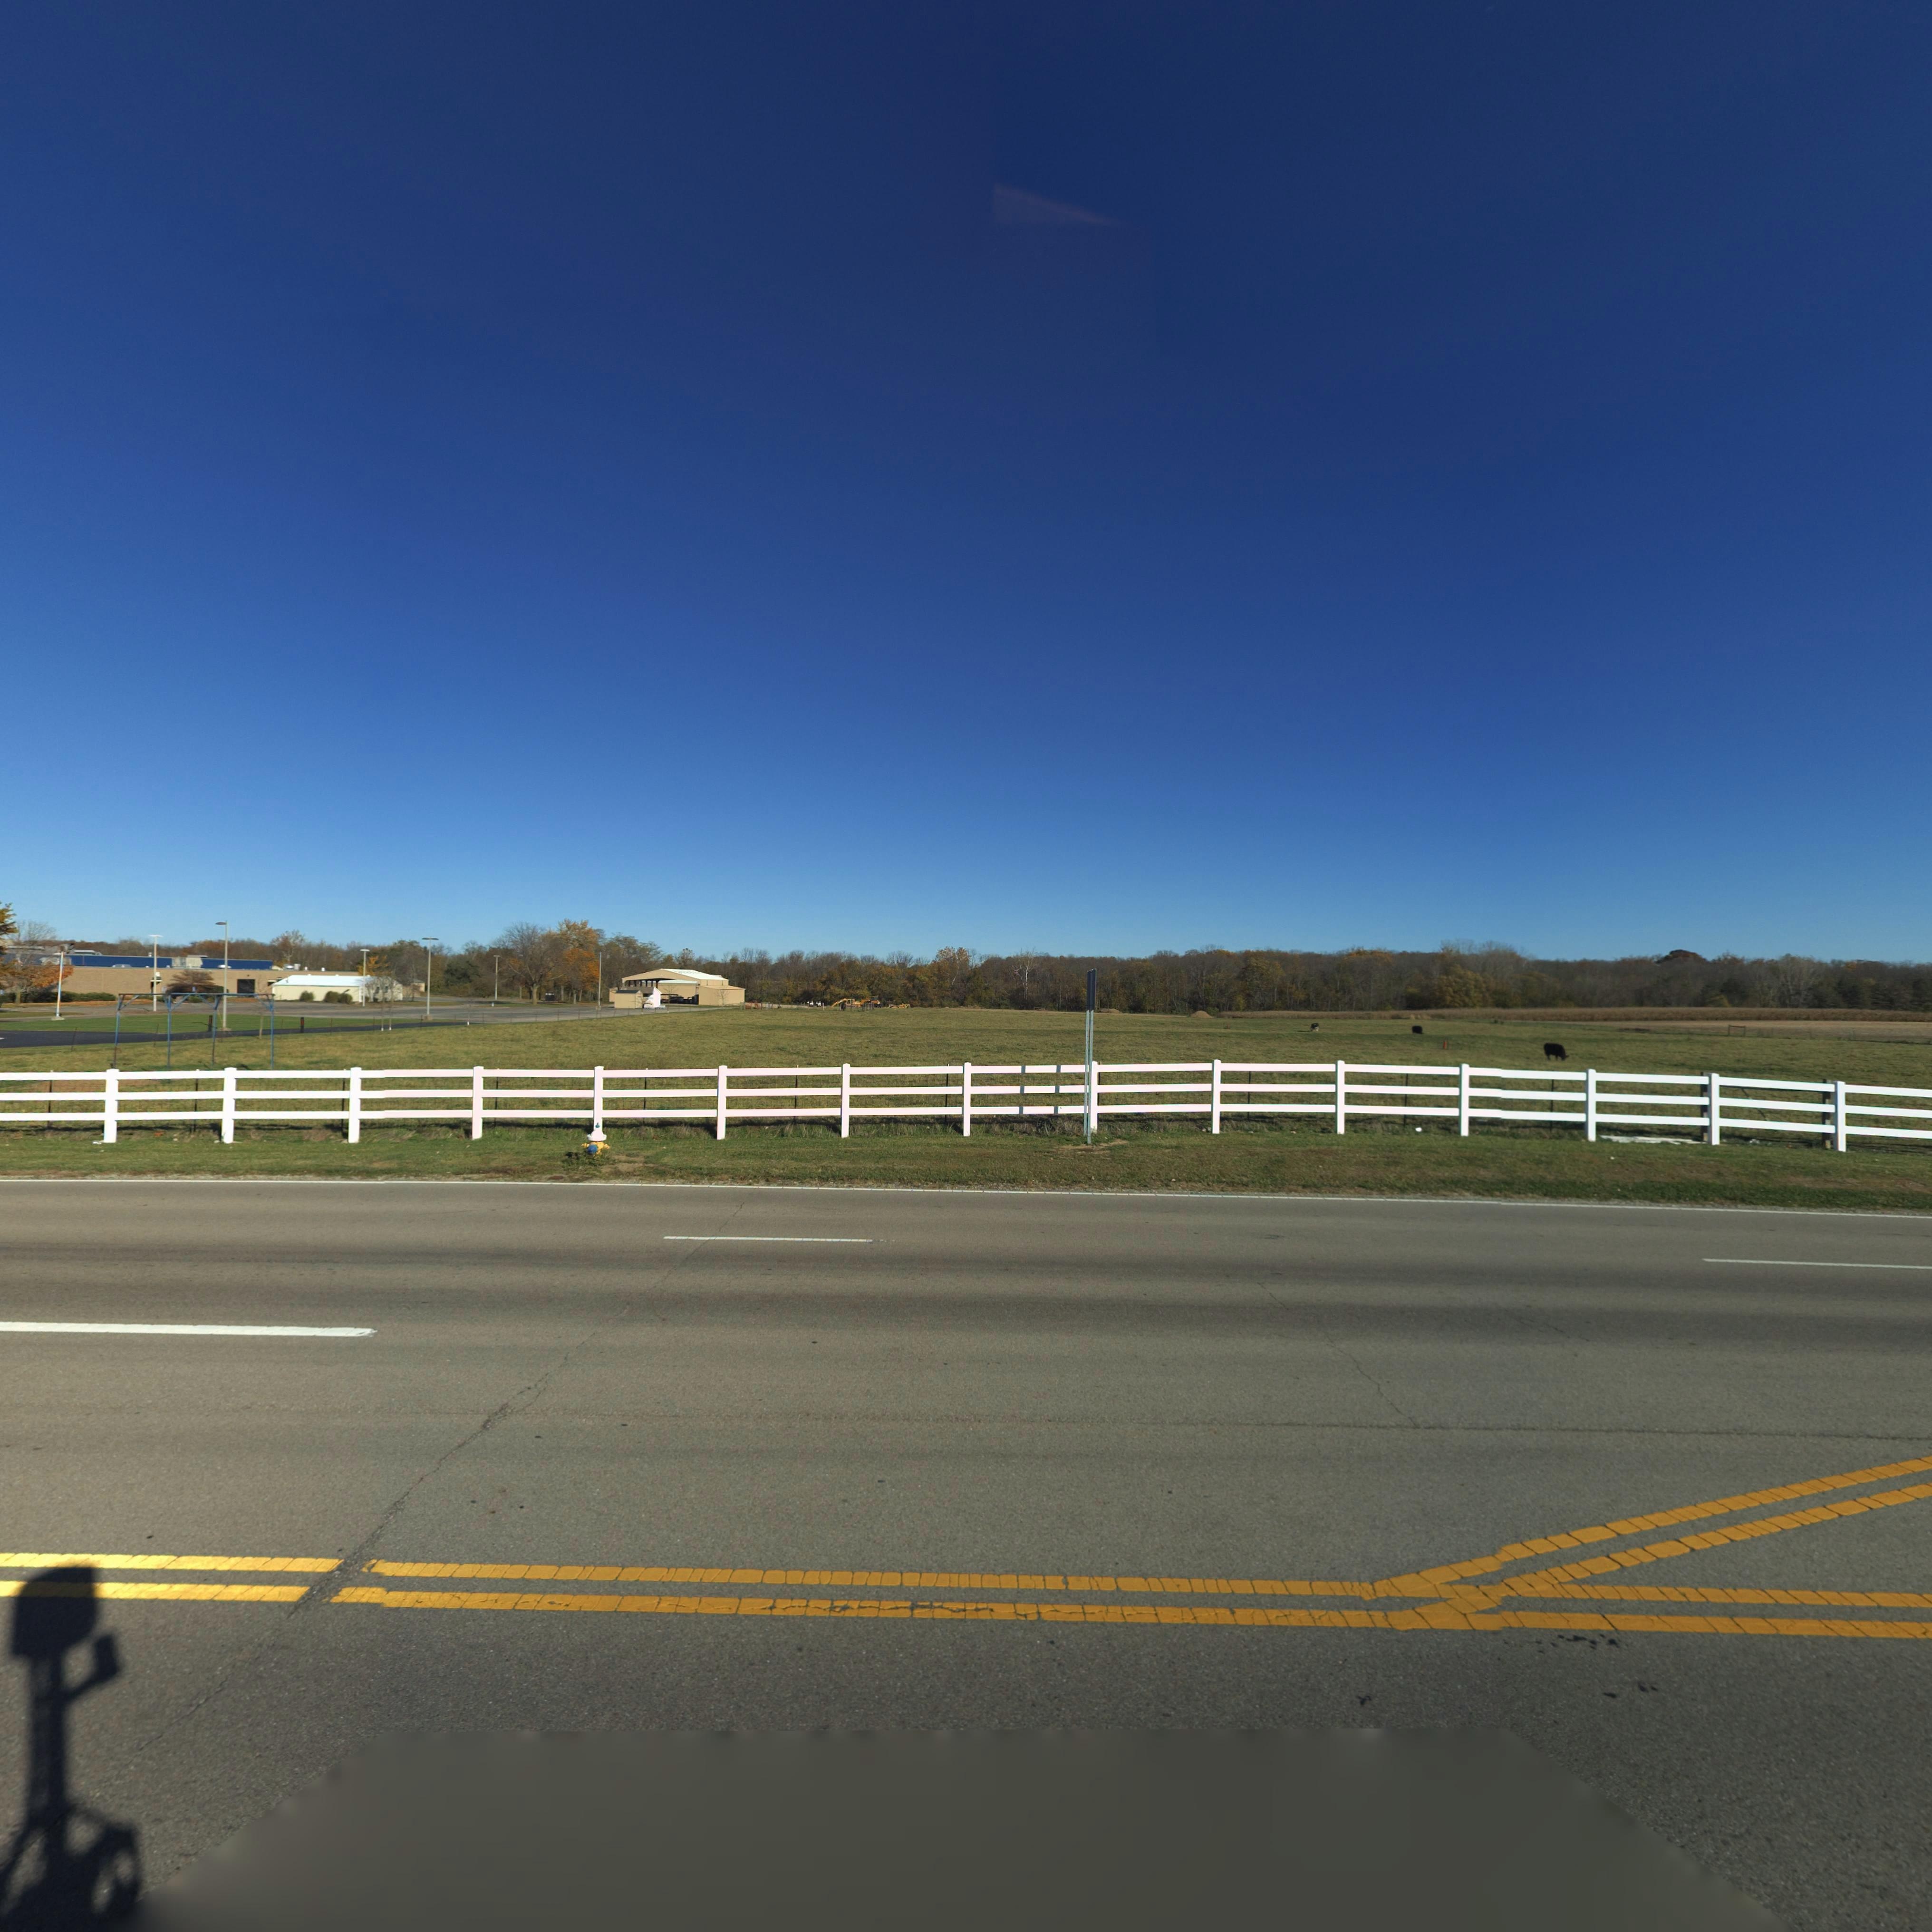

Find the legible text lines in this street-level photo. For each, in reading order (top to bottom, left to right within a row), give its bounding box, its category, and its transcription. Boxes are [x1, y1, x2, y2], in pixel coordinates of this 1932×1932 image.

[155, 972, 160, 976] StreetNumber: 6